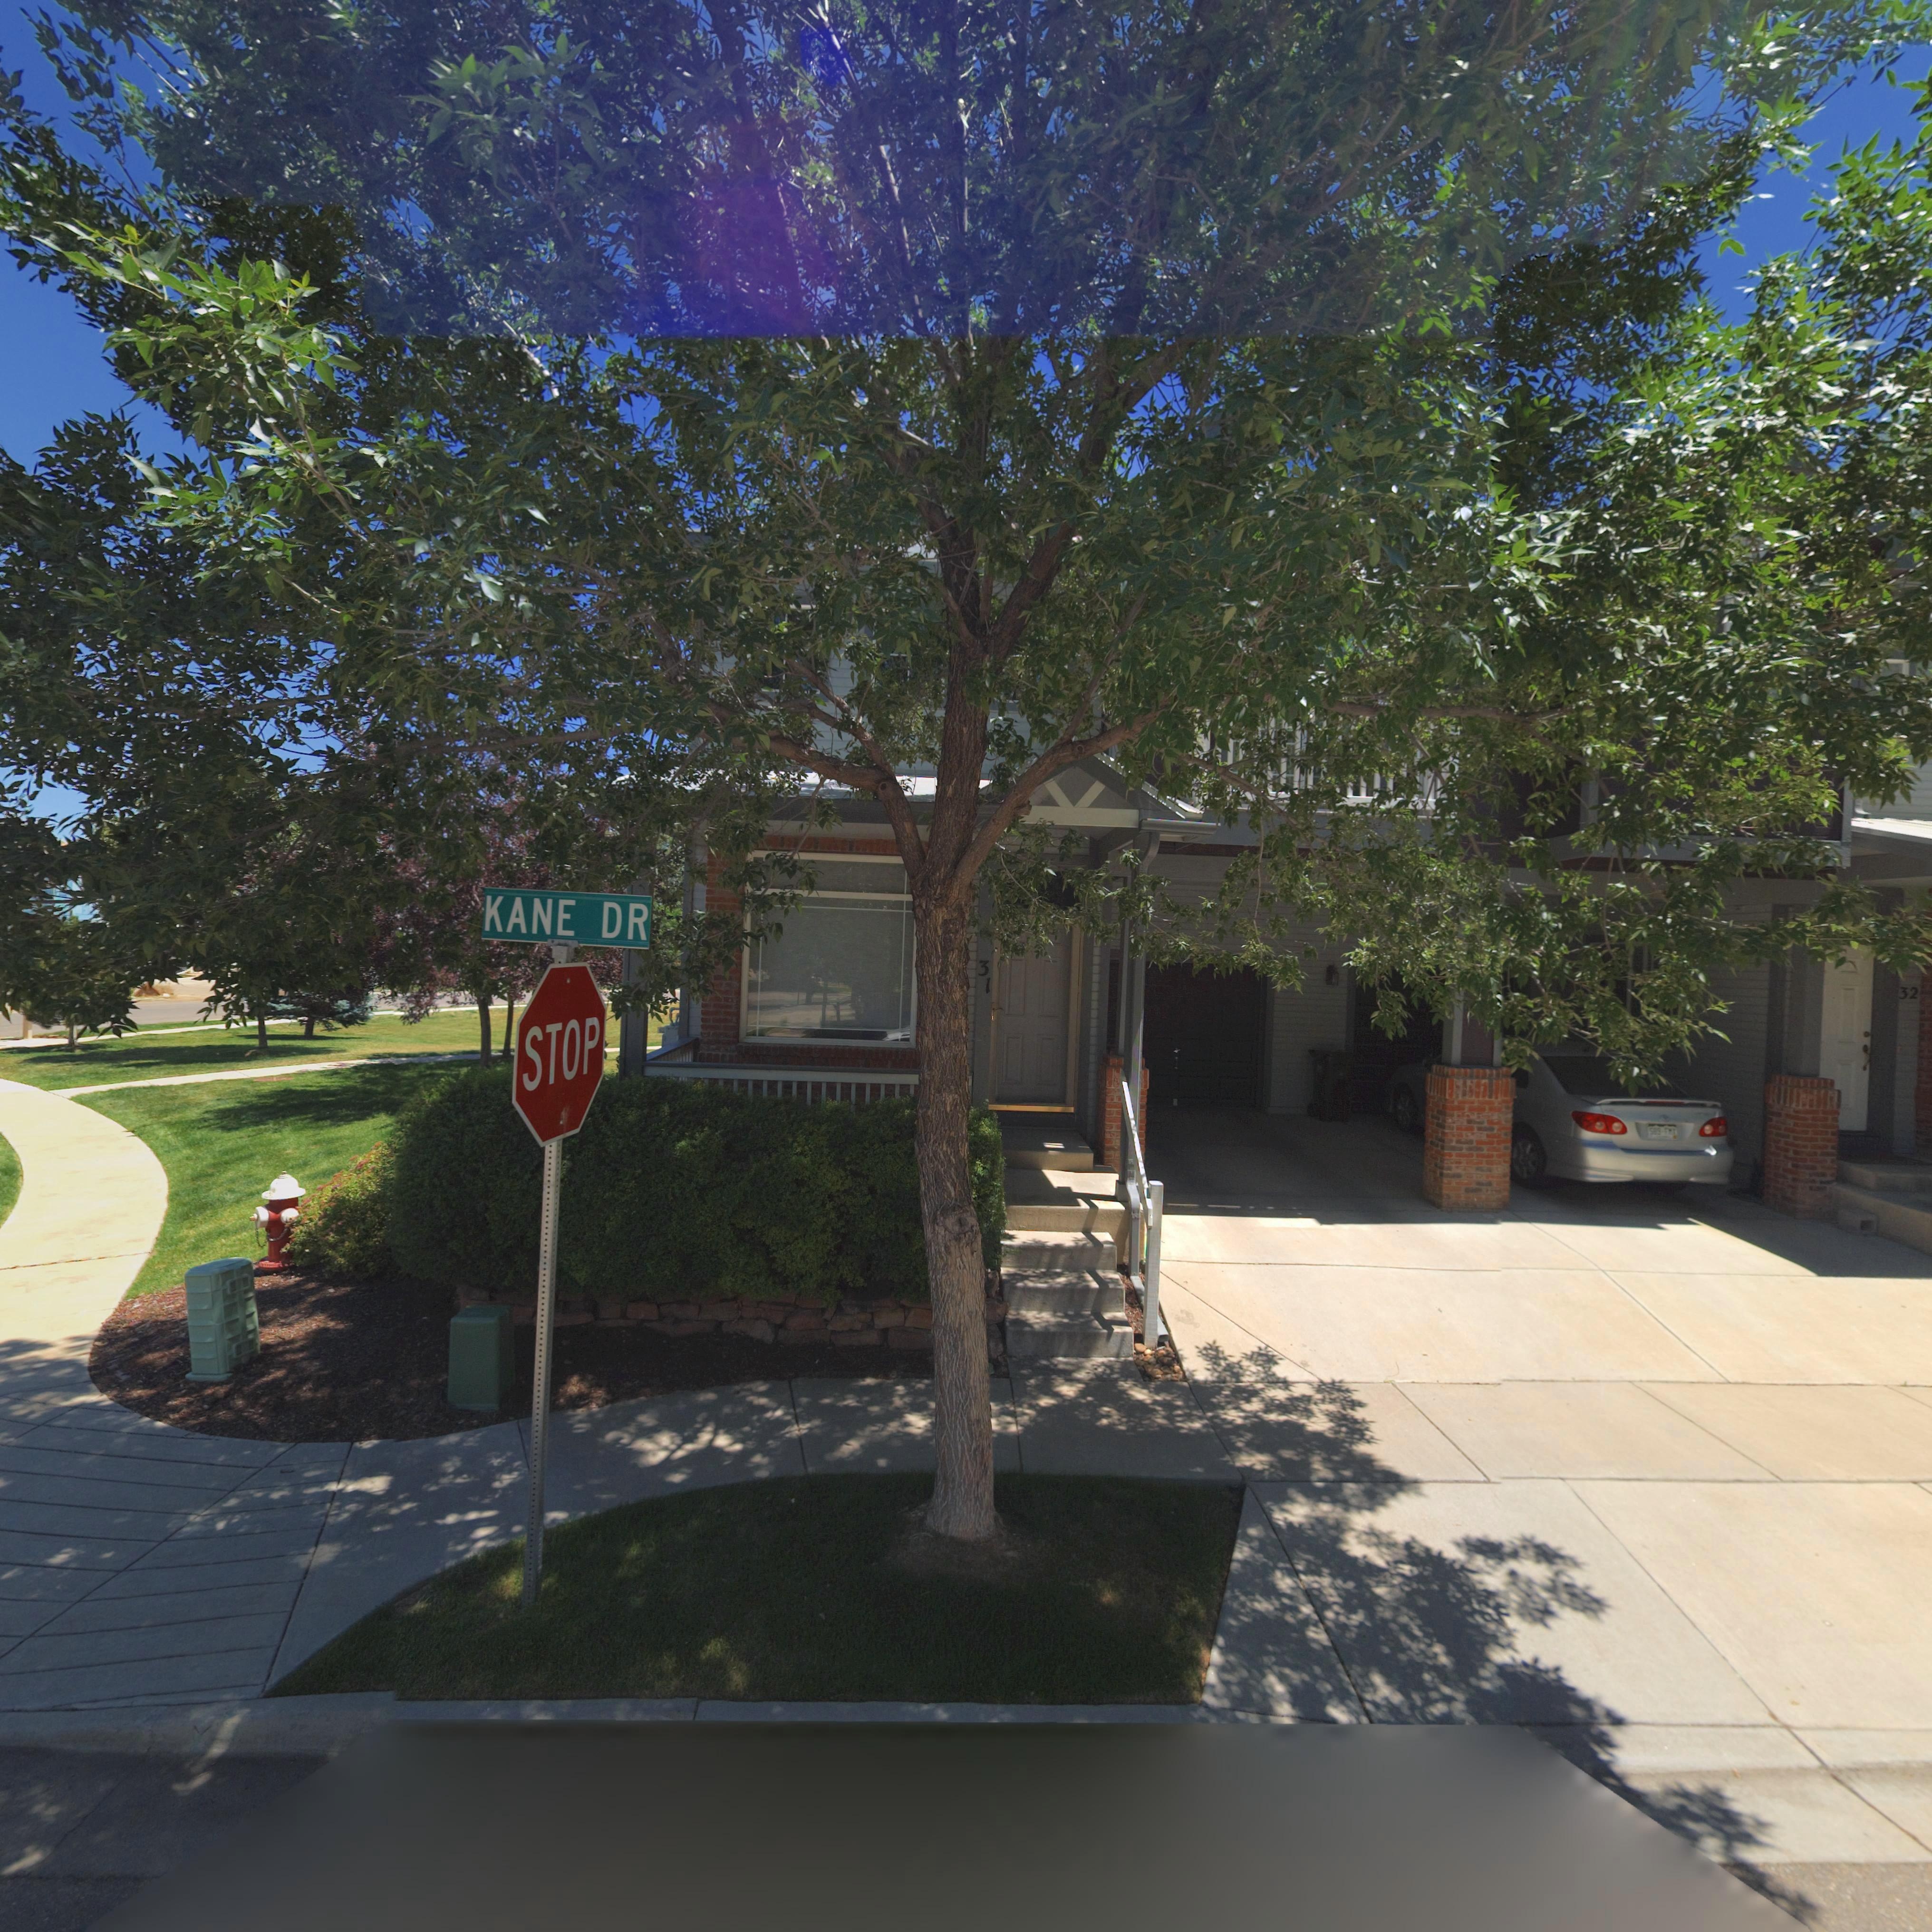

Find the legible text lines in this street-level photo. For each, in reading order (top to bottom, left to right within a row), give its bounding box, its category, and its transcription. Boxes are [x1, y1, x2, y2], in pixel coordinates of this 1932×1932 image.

[483, 894, 649, 942] StreetName: KANE DR
[976, 958, 991, 995] StreetNumber: 31
[1898, 985, 1919, 1000] BusinessName: 32